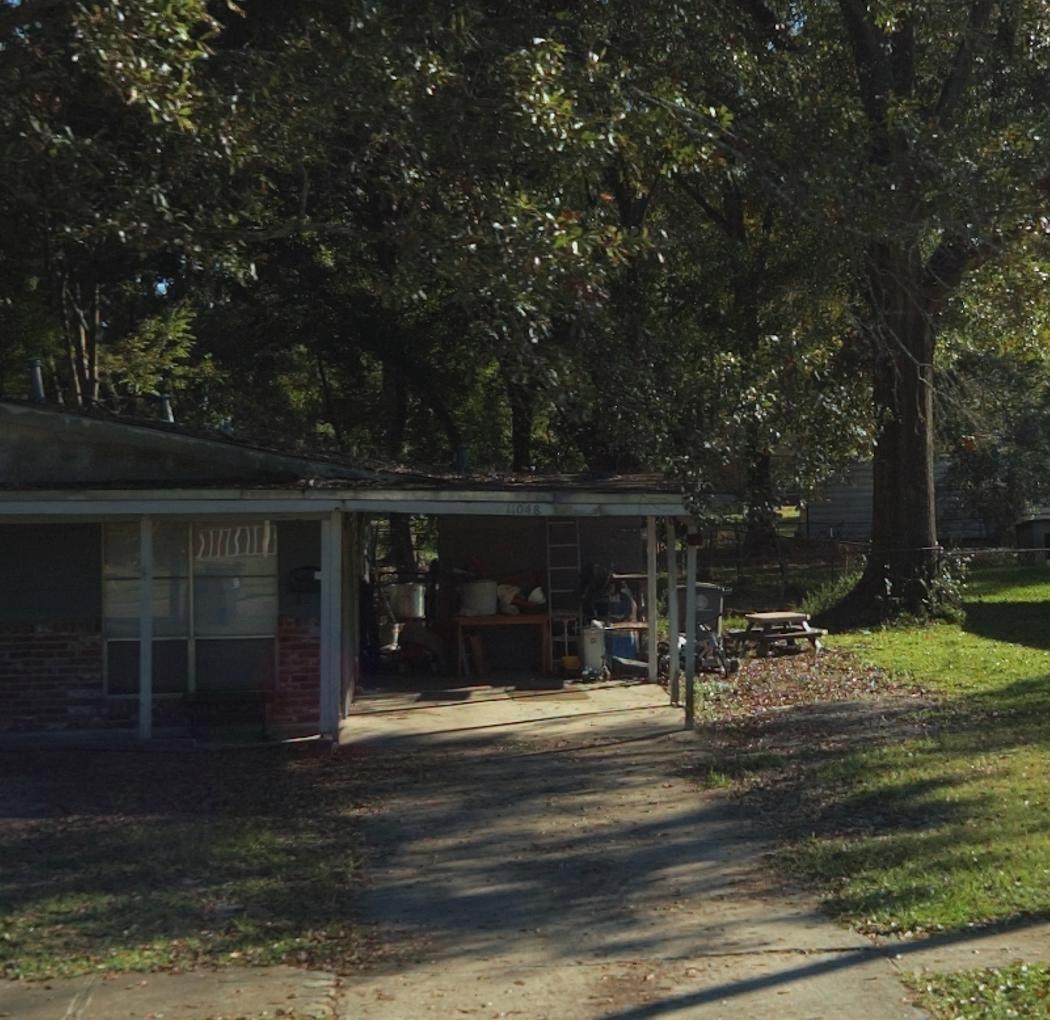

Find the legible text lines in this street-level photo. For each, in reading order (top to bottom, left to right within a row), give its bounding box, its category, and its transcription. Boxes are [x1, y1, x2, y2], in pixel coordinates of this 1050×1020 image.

[504, 502, 542, 516] StreetNumber: 11048